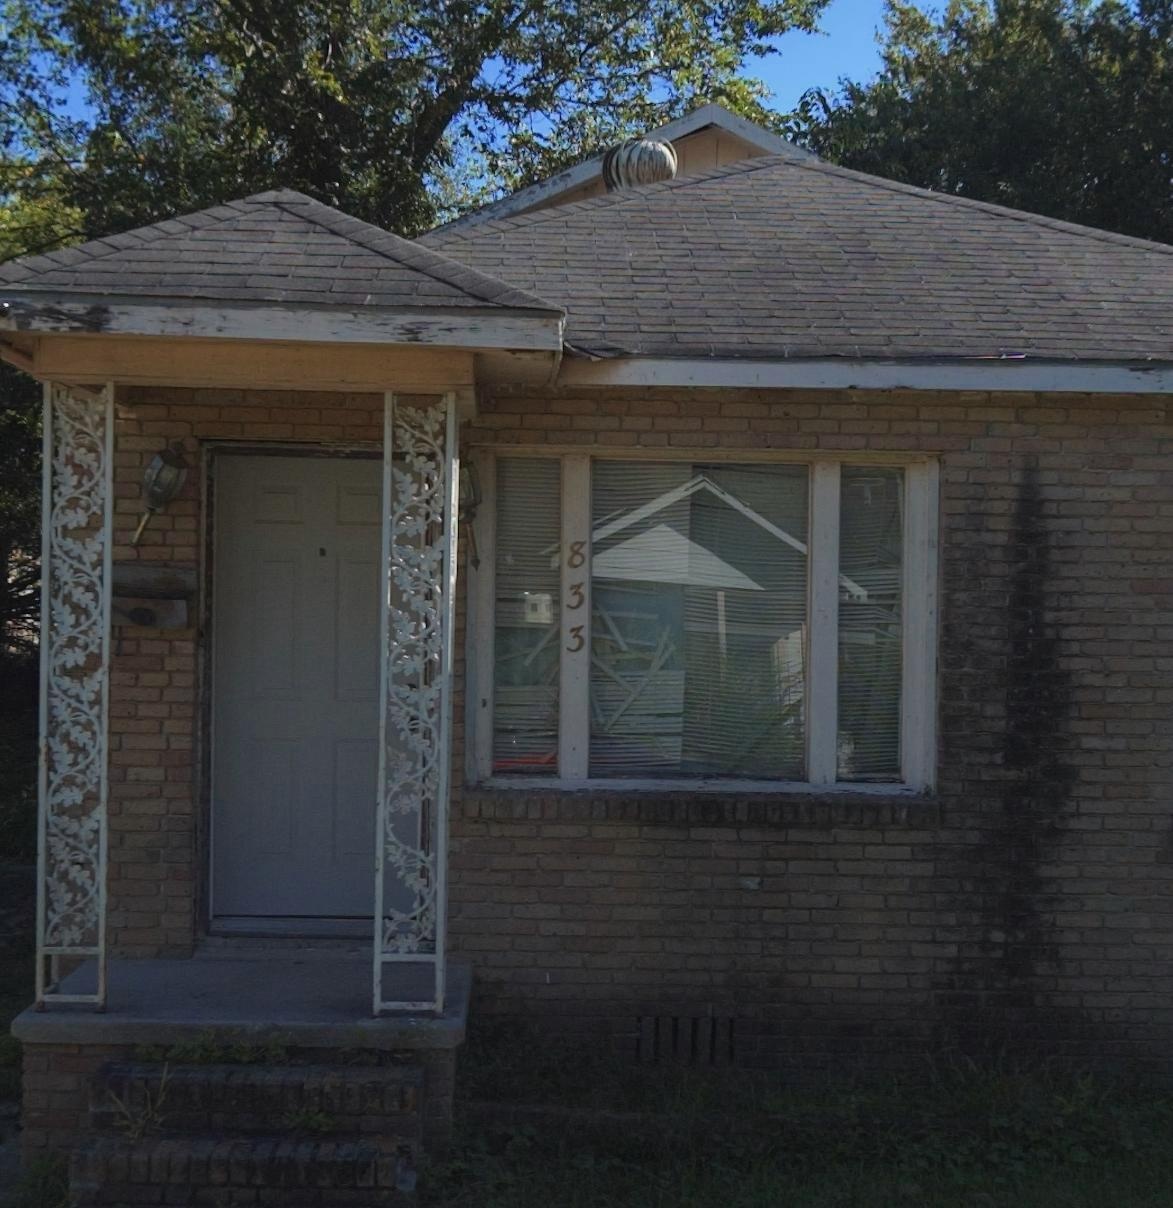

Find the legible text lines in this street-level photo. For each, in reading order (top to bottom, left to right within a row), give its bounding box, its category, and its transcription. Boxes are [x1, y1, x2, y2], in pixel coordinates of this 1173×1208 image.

[564, 538, 588, 656] StreetNumber: 833